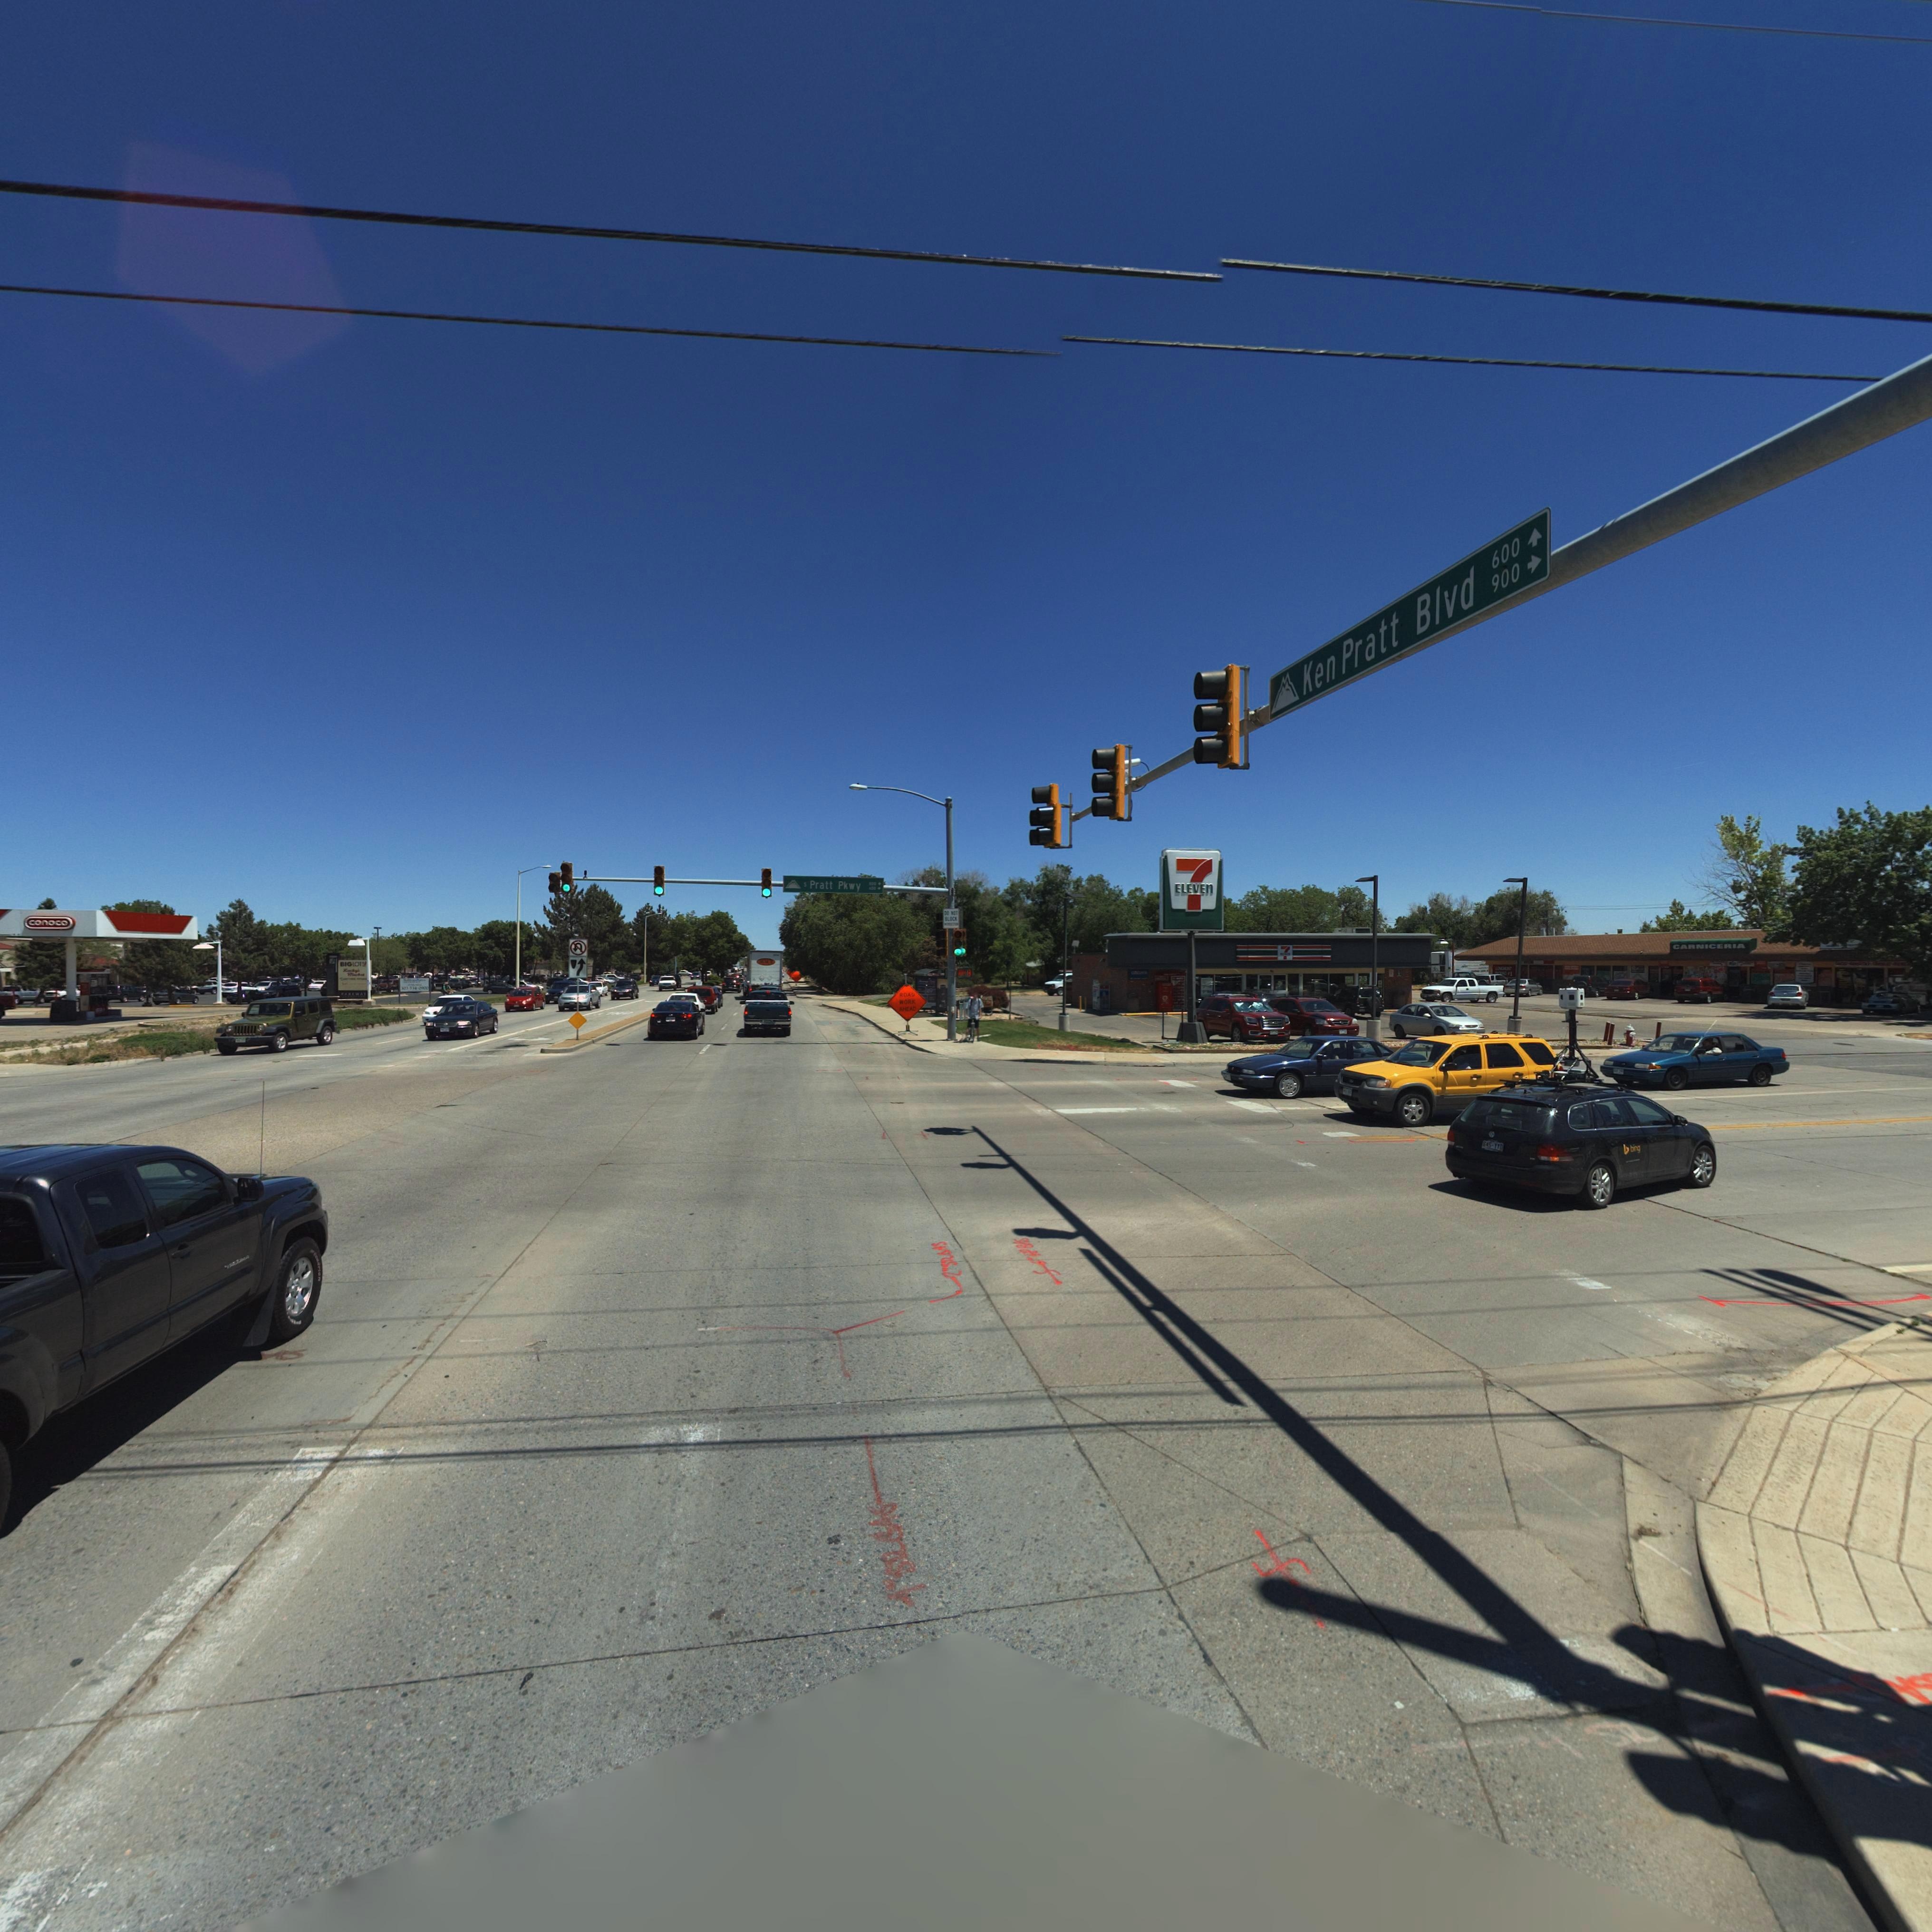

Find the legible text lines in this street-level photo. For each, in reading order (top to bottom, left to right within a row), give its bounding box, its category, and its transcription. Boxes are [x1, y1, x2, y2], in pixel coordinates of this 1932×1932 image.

[1491, 536, 1520, 570] StreetNumberRange: 600
[1491, 549, 1542, 593] StreetNumberRange: 900 ->
[1303, 562, 1475, 696] StreetName: Ken Pratt Blvd
[803, 880, 861, 892] StreetName: S Pratt Pkwy
[869, 881, 876, 886] StreetNumberRange: **0
[869, 886, 881, 890] StreetNumberRange: *00 ->
[1175, 883, 1213, 893] BusinessName: ELEVEn
[1176, 857, 1213, 911] BusinessName: 7
[28, 919, 68, 926] BusinessName: conoco
[1280, 946, 1290, 959] BusinessName: 7
[340, 961, 367, 966] BusinessName: BIG *OTS*
[347, 972, 365, 976] BusinessName: M*****